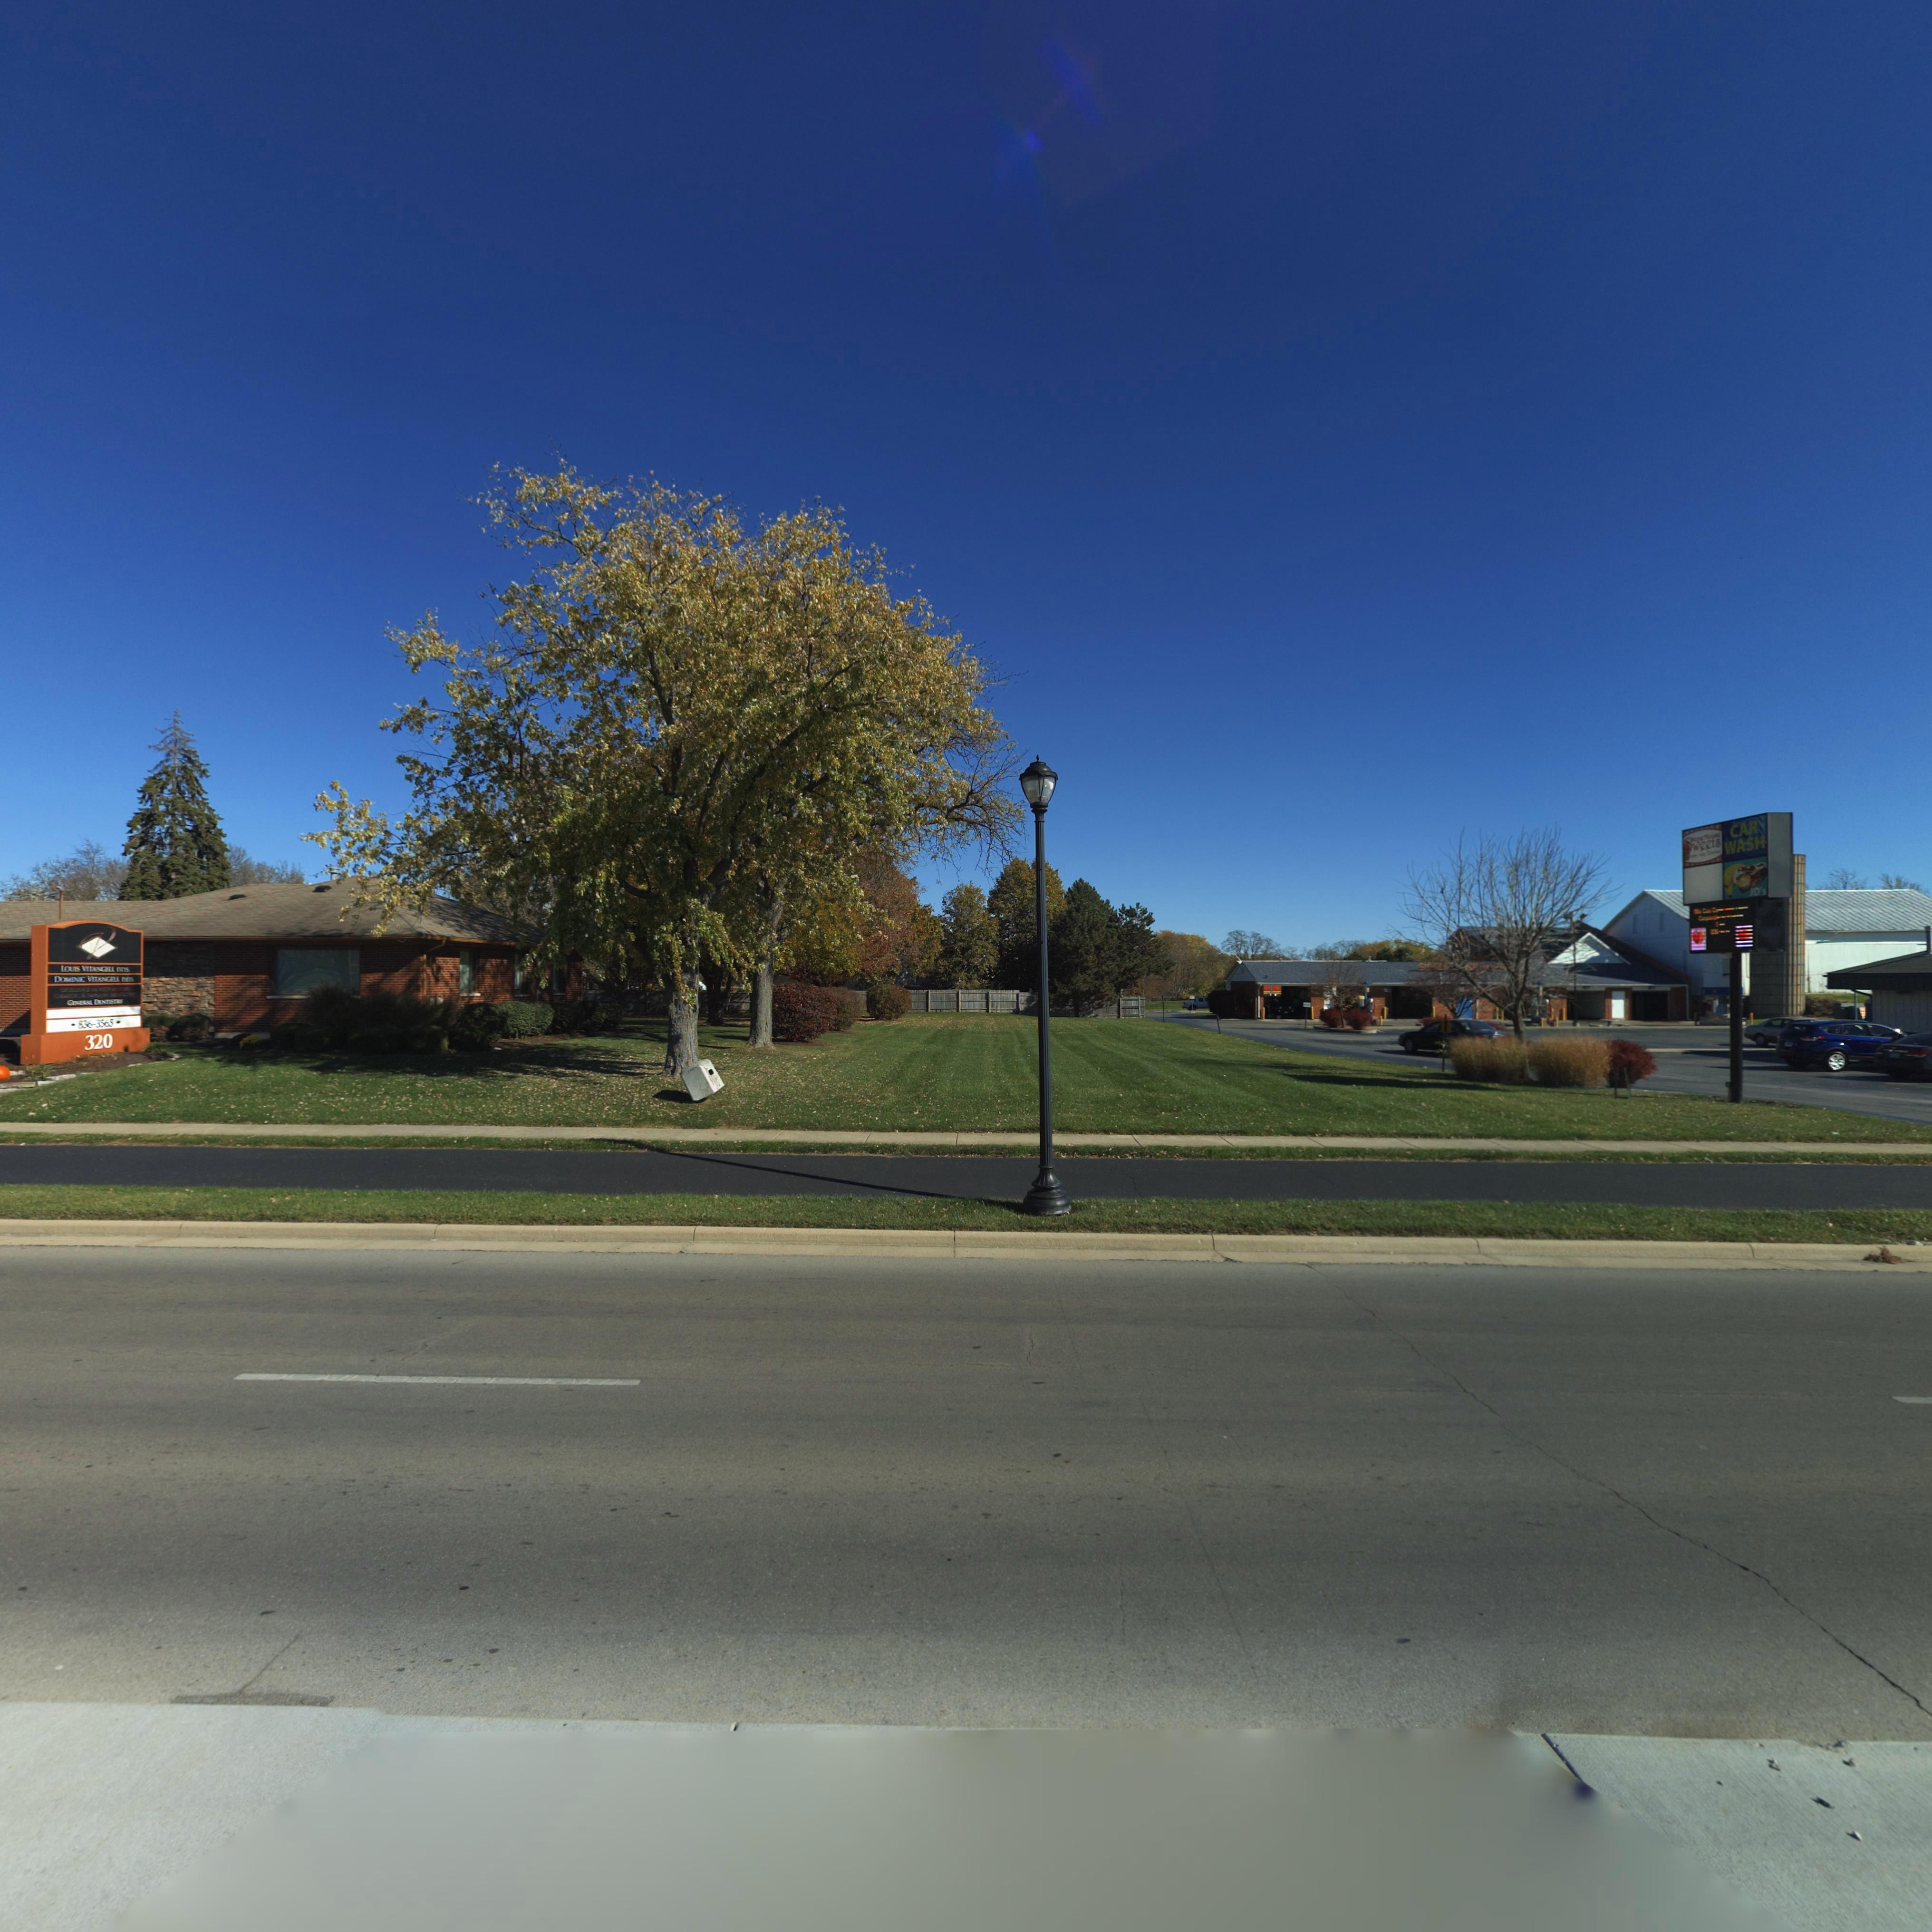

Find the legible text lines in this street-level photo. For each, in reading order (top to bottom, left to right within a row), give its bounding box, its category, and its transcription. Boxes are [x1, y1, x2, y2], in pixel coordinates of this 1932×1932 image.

[1729, 819, 1759, 840] None: CAR
[1682, 836, 1722, 854] BusinessName: *weets
[1723, 833, 1766, 856] None: WASH
[1748, 886, 1768, 898] BusinessName: JD's
[1693, 908, 1700, 915] None: W
[59, 965, 132, 973] None: LOUIS VI*ANGELL D*S
[52, 975, 121, 984] None: DOMINIC VITANGELL
[66, 997, 125, 1007] None: GENER*L **NTIST*Y
[77, 1018, 115, 1030] None: 836-3565
[84, 1032, 115, 1052] StreetNumber: 320